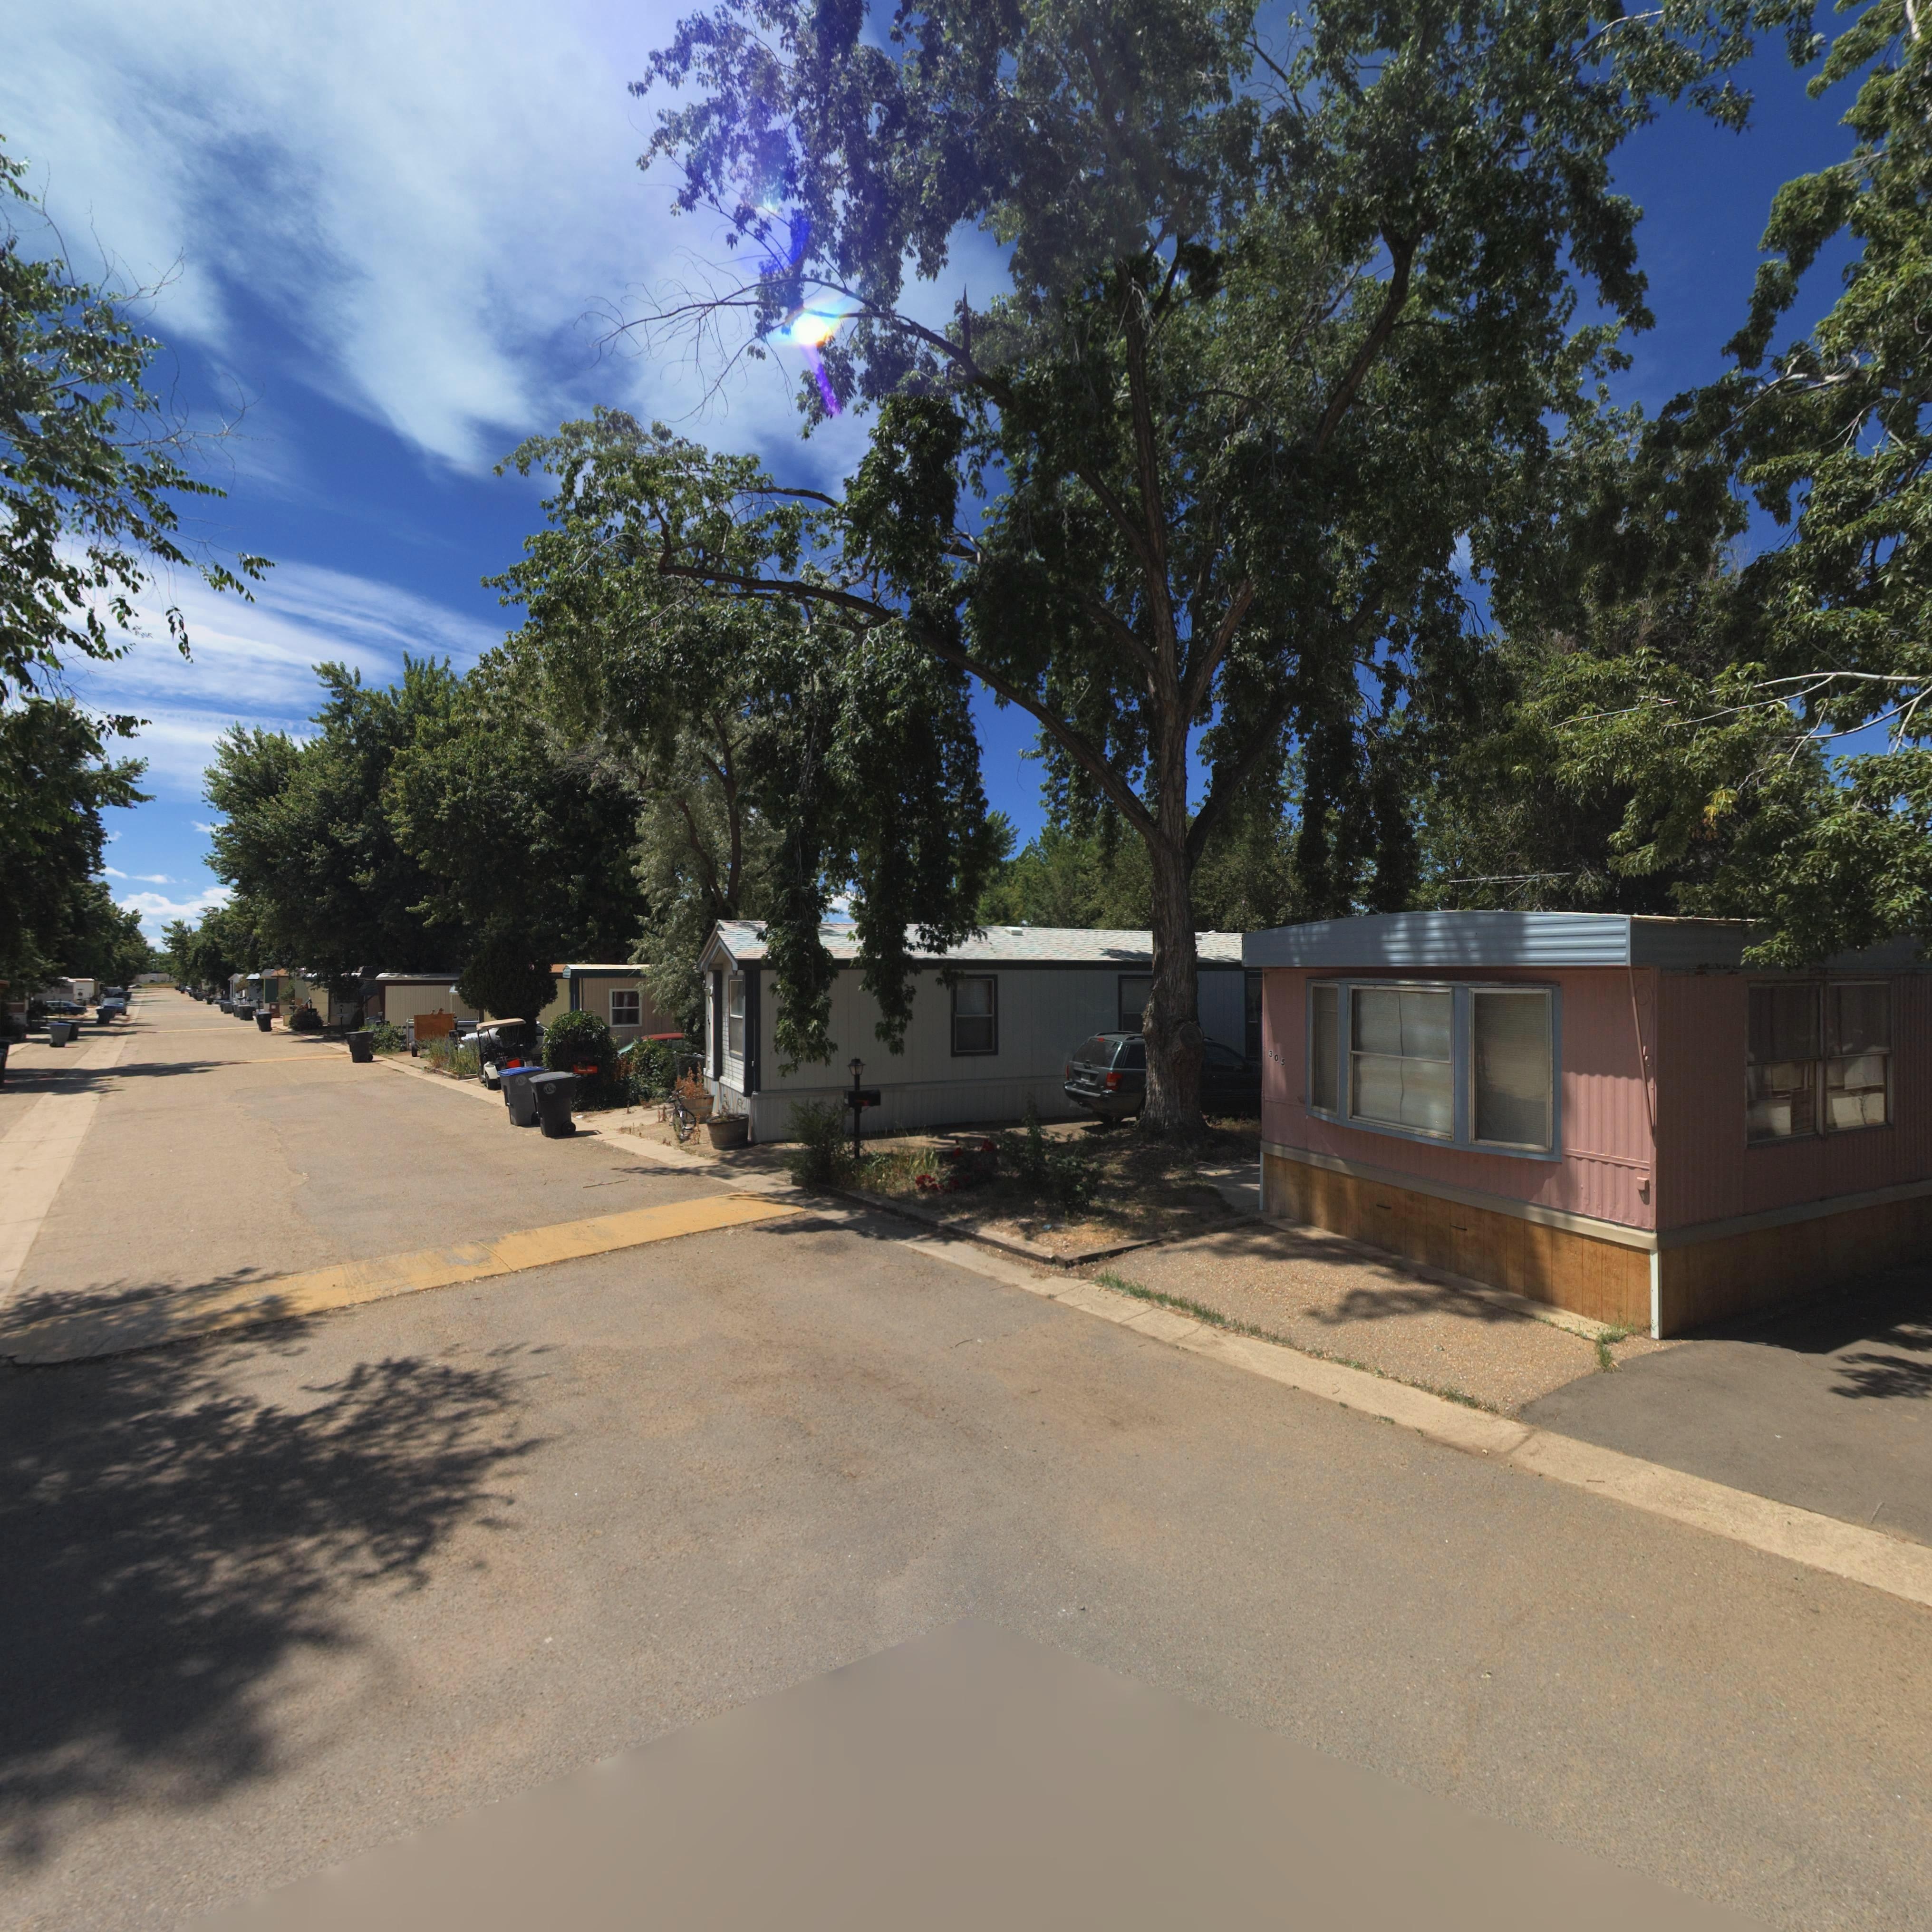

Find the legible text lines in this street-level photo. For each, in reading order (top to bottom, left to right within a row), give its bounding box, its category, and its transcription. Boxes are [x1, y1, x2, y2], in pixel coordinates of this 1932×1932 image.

[1268, 1050, 1285, 1066] StreetNumber: 305